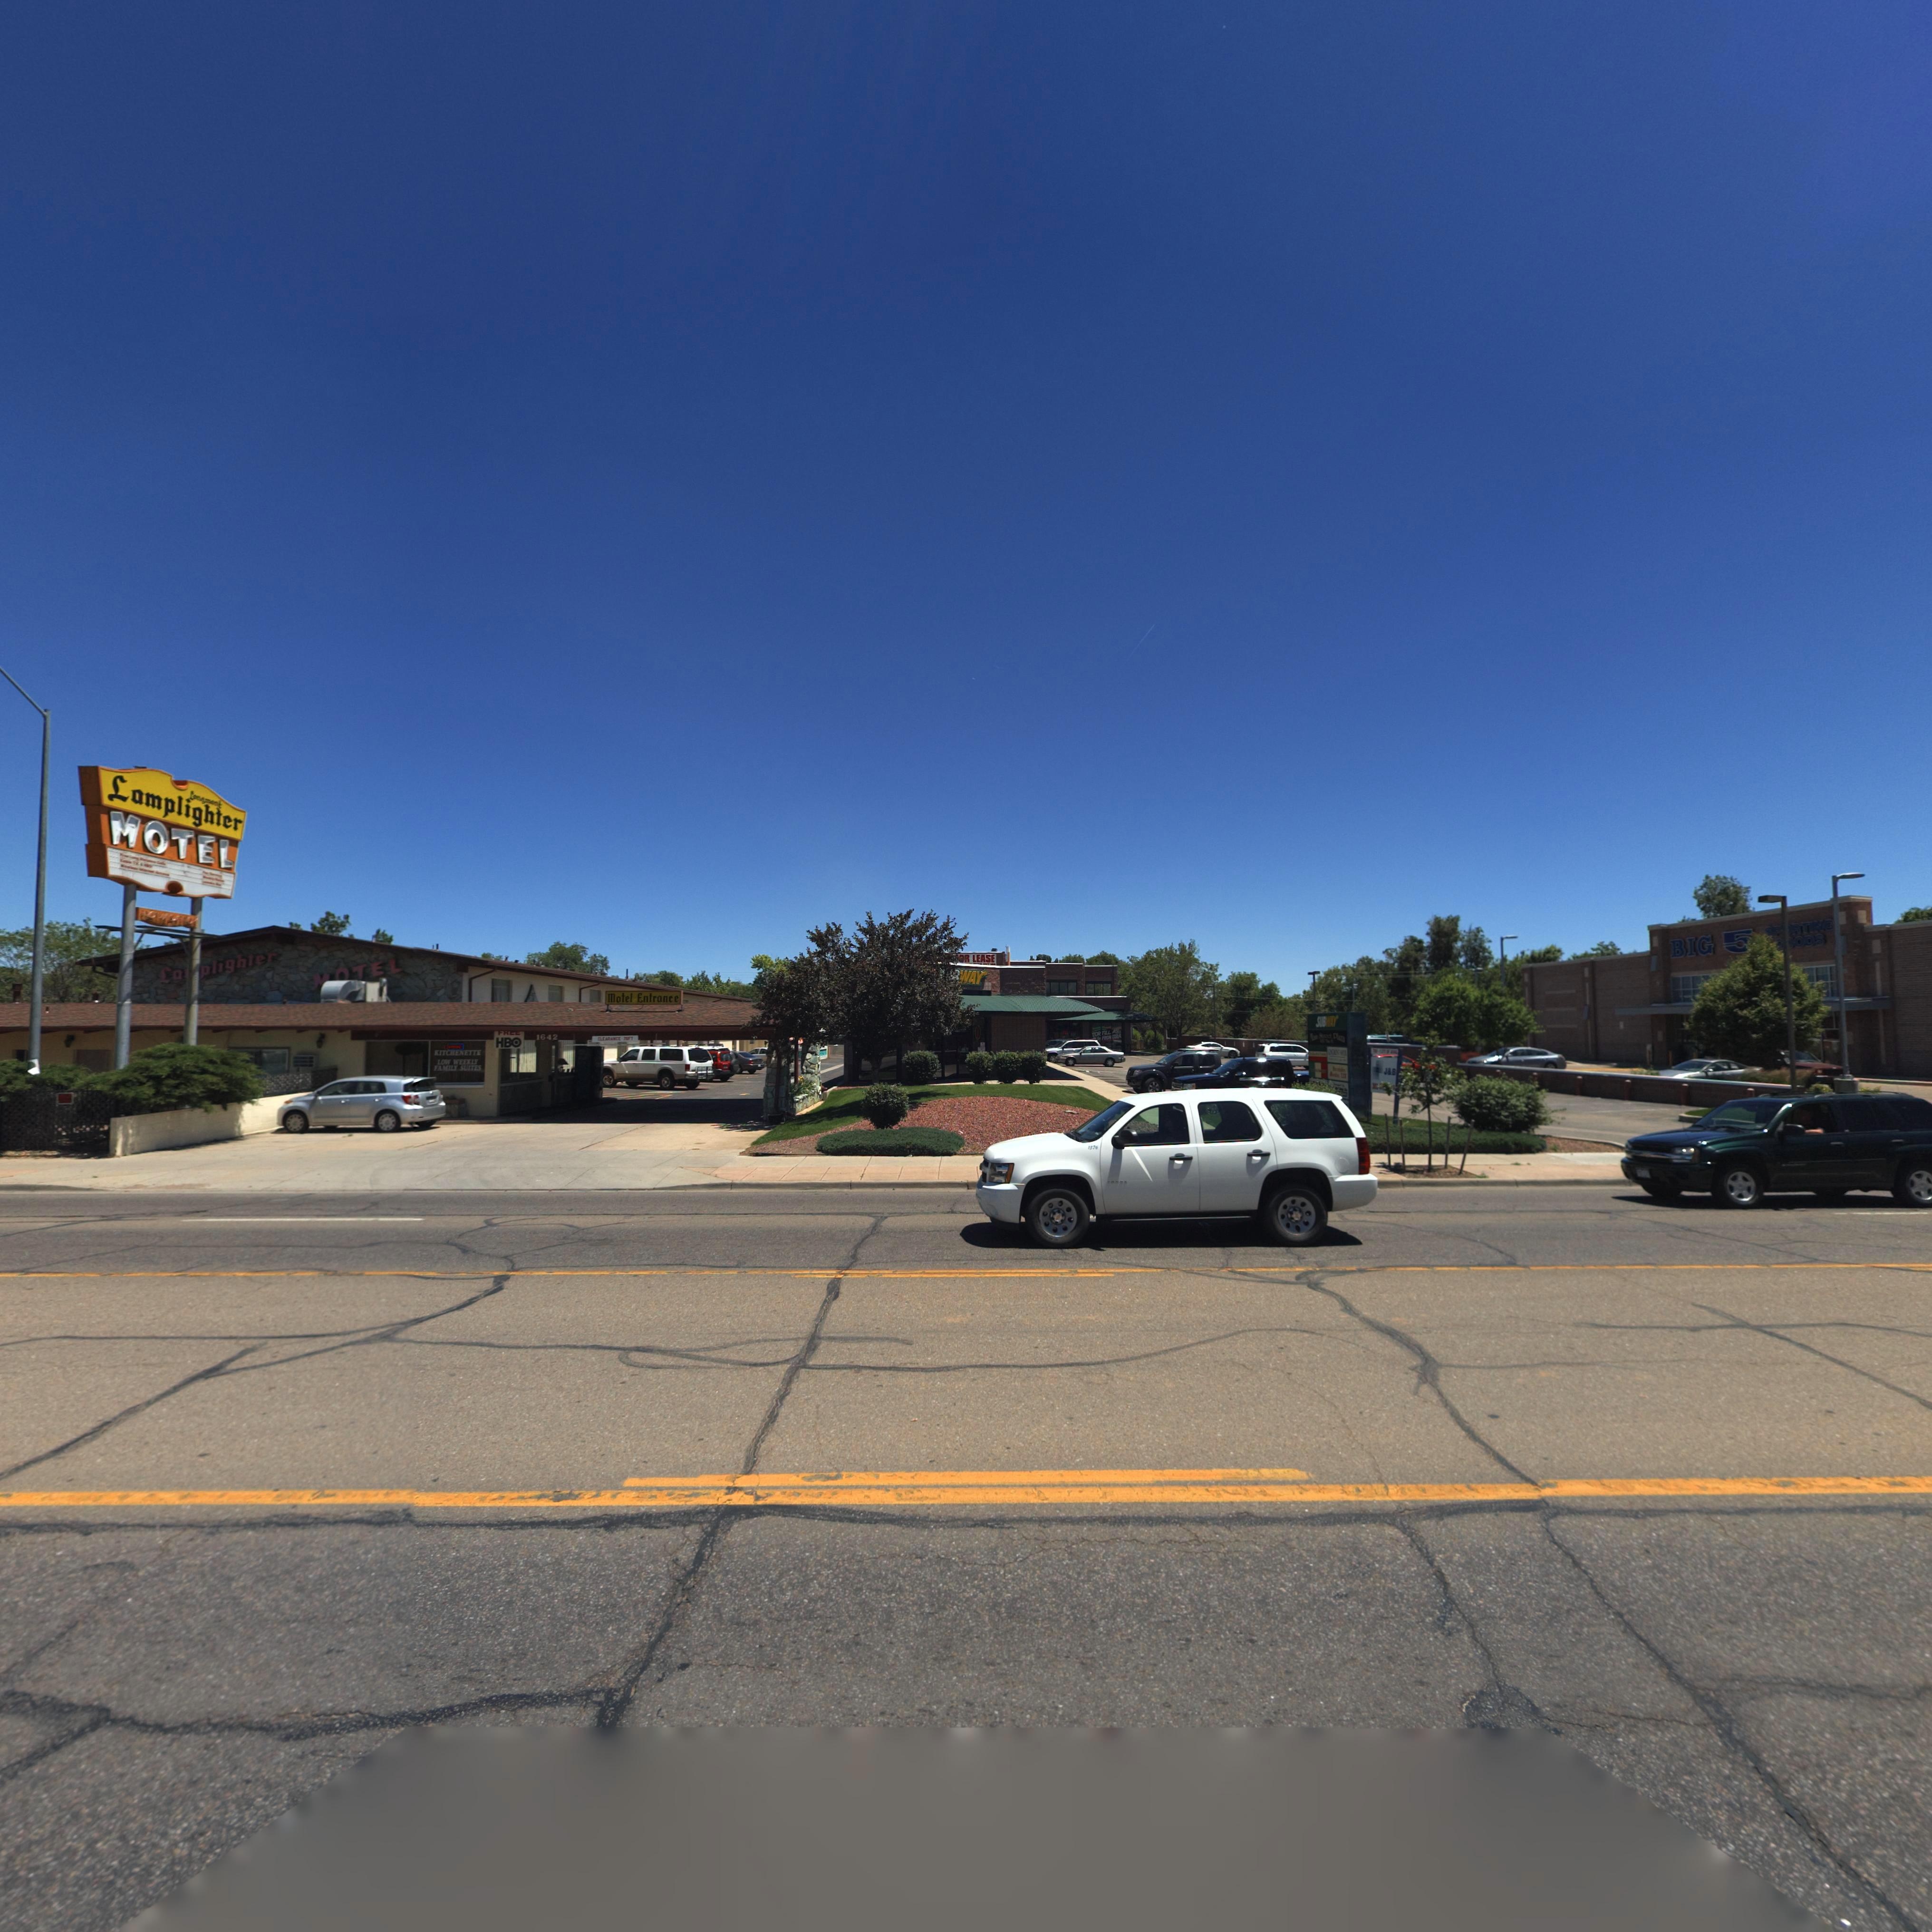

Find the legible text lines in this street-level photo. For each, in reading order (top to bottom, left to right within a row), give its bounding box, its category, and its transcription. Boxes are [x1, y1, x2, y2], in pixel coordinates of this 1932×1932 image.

[105, 773, 244, 833] BusinessName: Lamplighter
[189, 789, 222, 809] BusinessName: Longmont
[107, 809, 234, 871] BusinessName: MOTEL
[1764, 918, 1834, 937] BusinessName: SP*RTING
[1668, 933, 1716, 960] BusinessName: BIG
[1721, 927, 1759, 954] BusinessName: 5
[1773, 932, 1827, 952] BusinessName: **ODS
[158, 950, 280, 985] BusinessName: La*plighter
[311, 956, 405, 991] BusinessName: *OTEL
[932, 967, 987, 985] BusinessName: ***WAY
[1314, 1015, 1339, 1028] BusinessName: SUBWAY
[536, 1034, 558, 1041] StreetNumber: 1642
[1309, 1031, 1345, 1043] BusinessName: *** Street Pizza